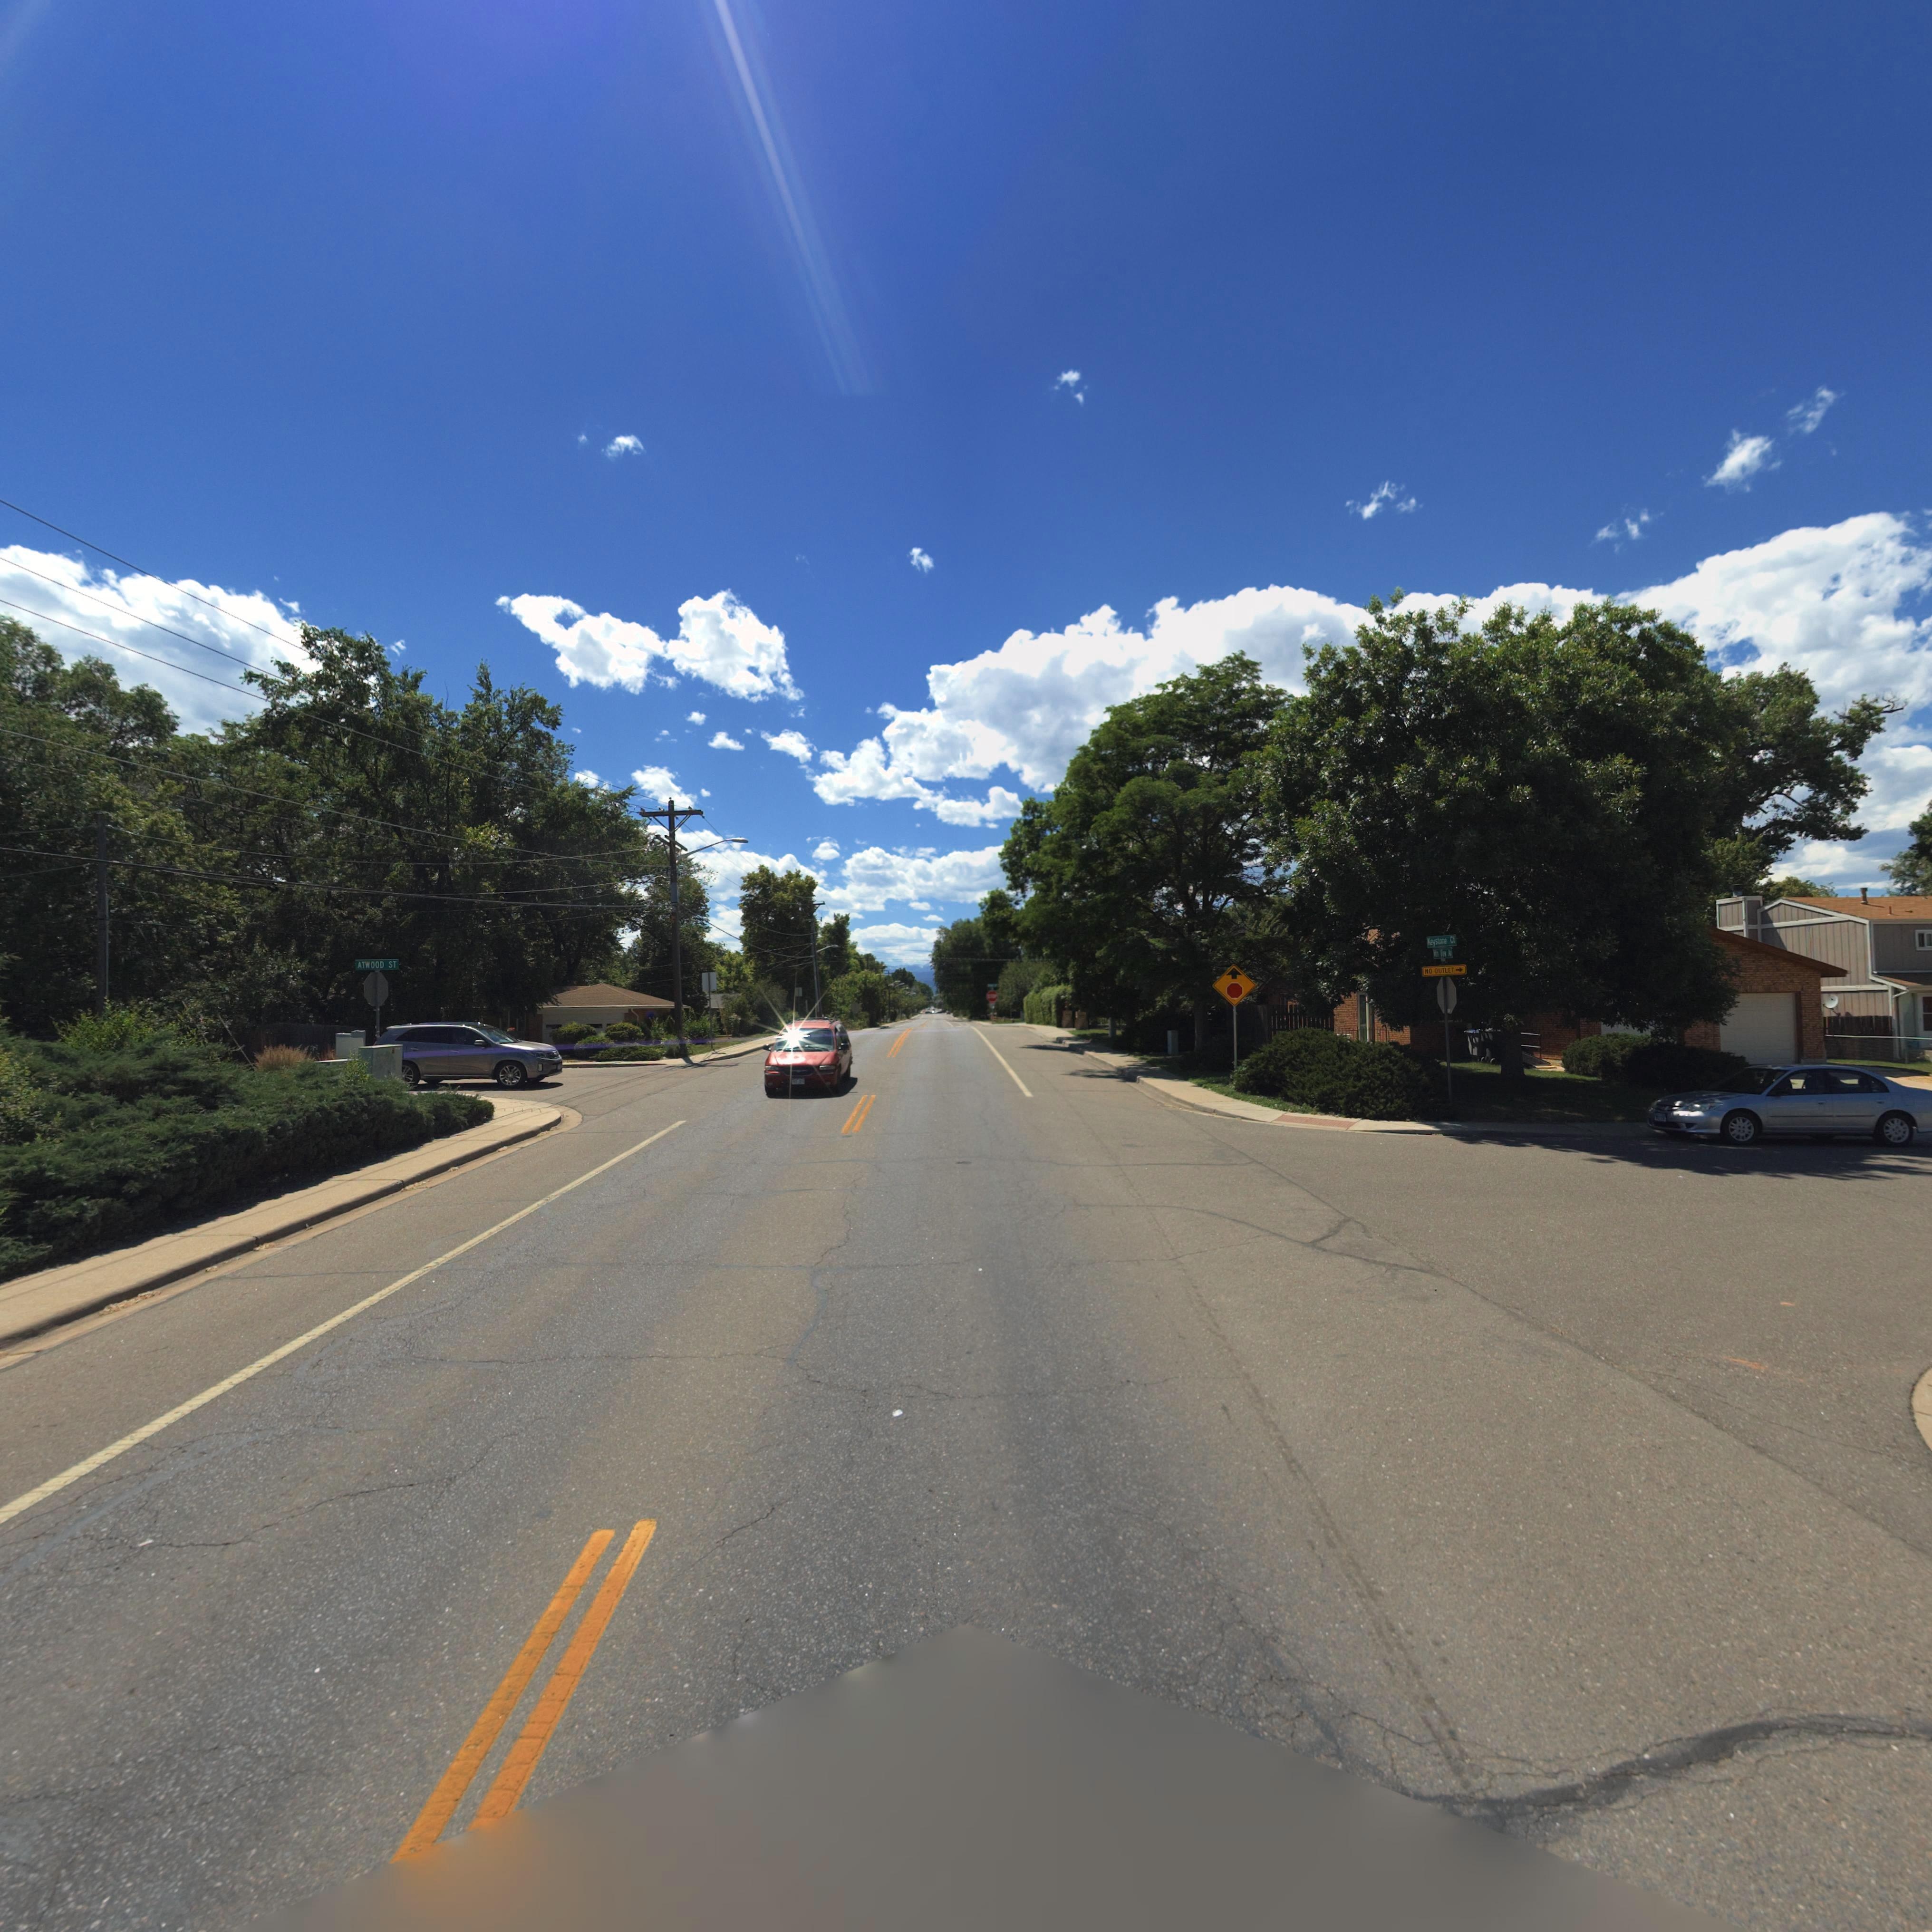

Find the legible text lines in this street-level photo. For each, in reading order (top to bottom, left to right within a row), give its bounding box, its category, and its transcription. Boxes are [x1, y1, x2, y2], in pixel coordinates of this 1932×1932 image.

[1426, 935, 1456, 947] StreetName: Keystone Ct
[1432, 948, 1452, 958] StreetName: Mtn View Av
[357, 960, 397, 969] StreetName: ATWOOD ST